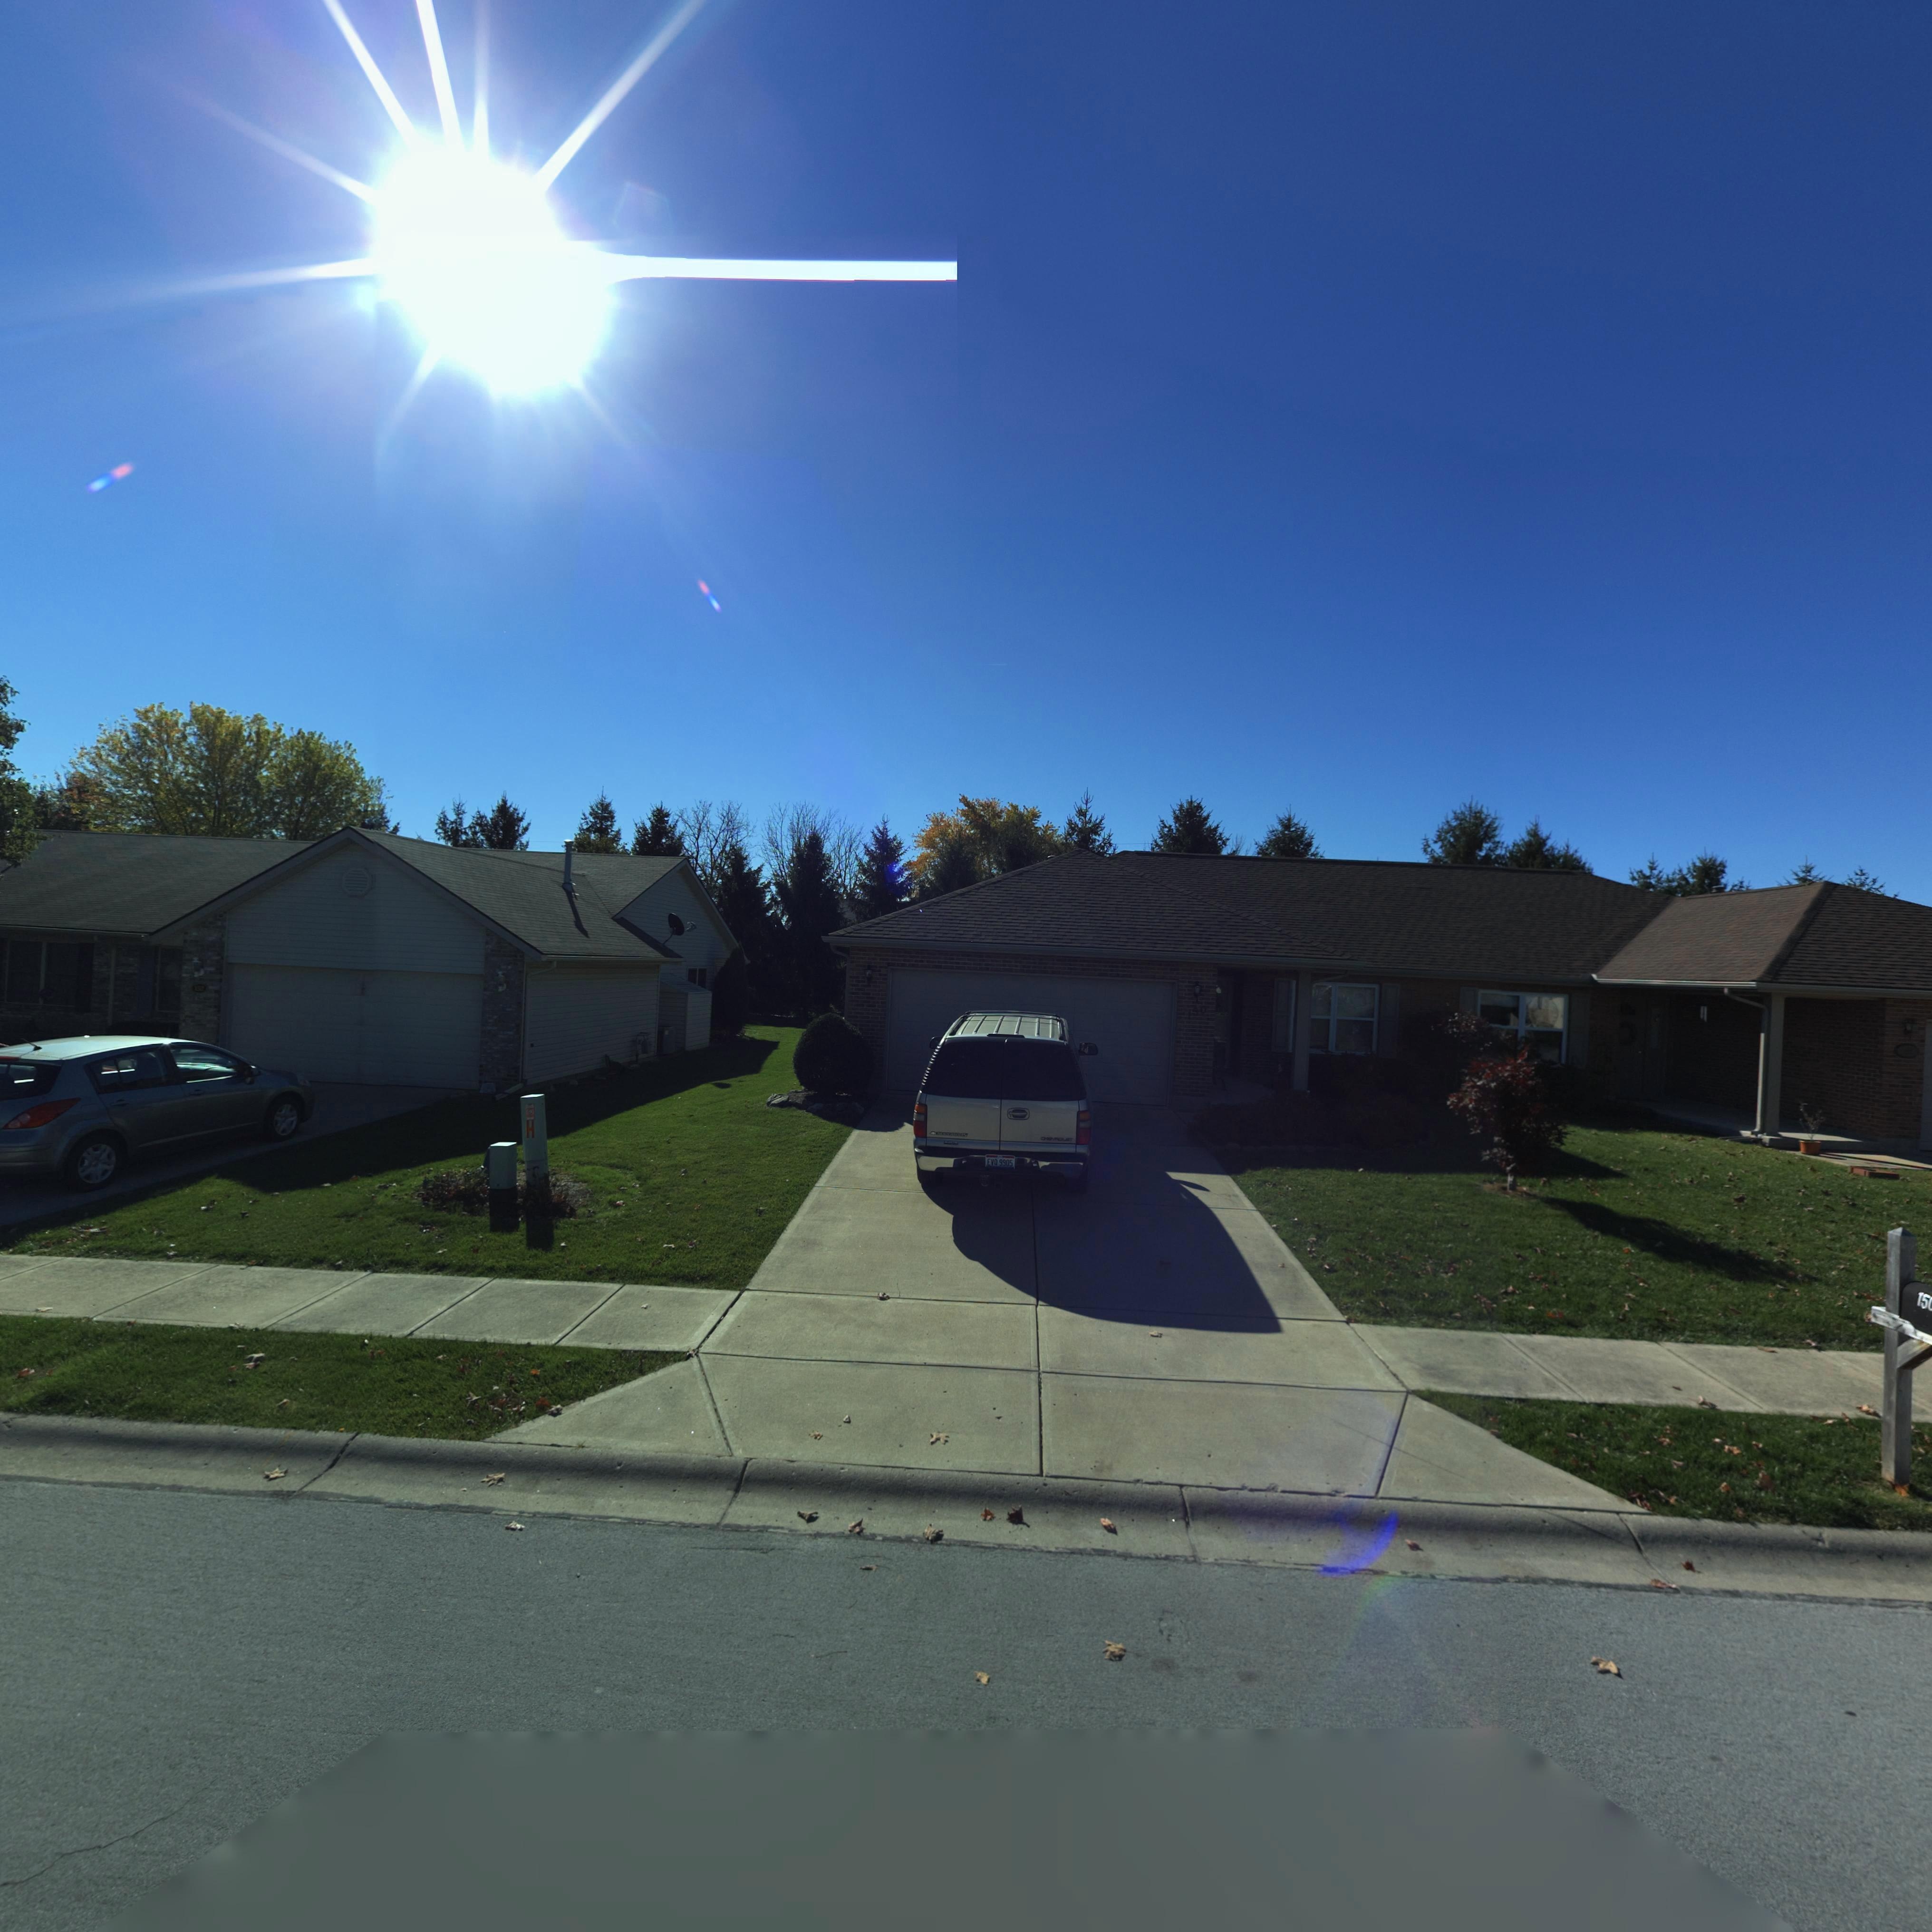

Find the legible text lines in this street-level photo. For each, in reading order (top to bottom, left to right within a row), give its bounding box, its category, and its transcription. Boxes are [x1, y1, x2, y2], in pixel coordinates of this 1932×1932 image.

[194, 985, 205, 992] StreetNumber: 15*
[1187, 1005, 1207, 1020] StreetNumber: 150
[985, 1156, 1014, 1168] None: EVO 9905
[1916, 1290, 1932, 1310] StreetNumber: 15